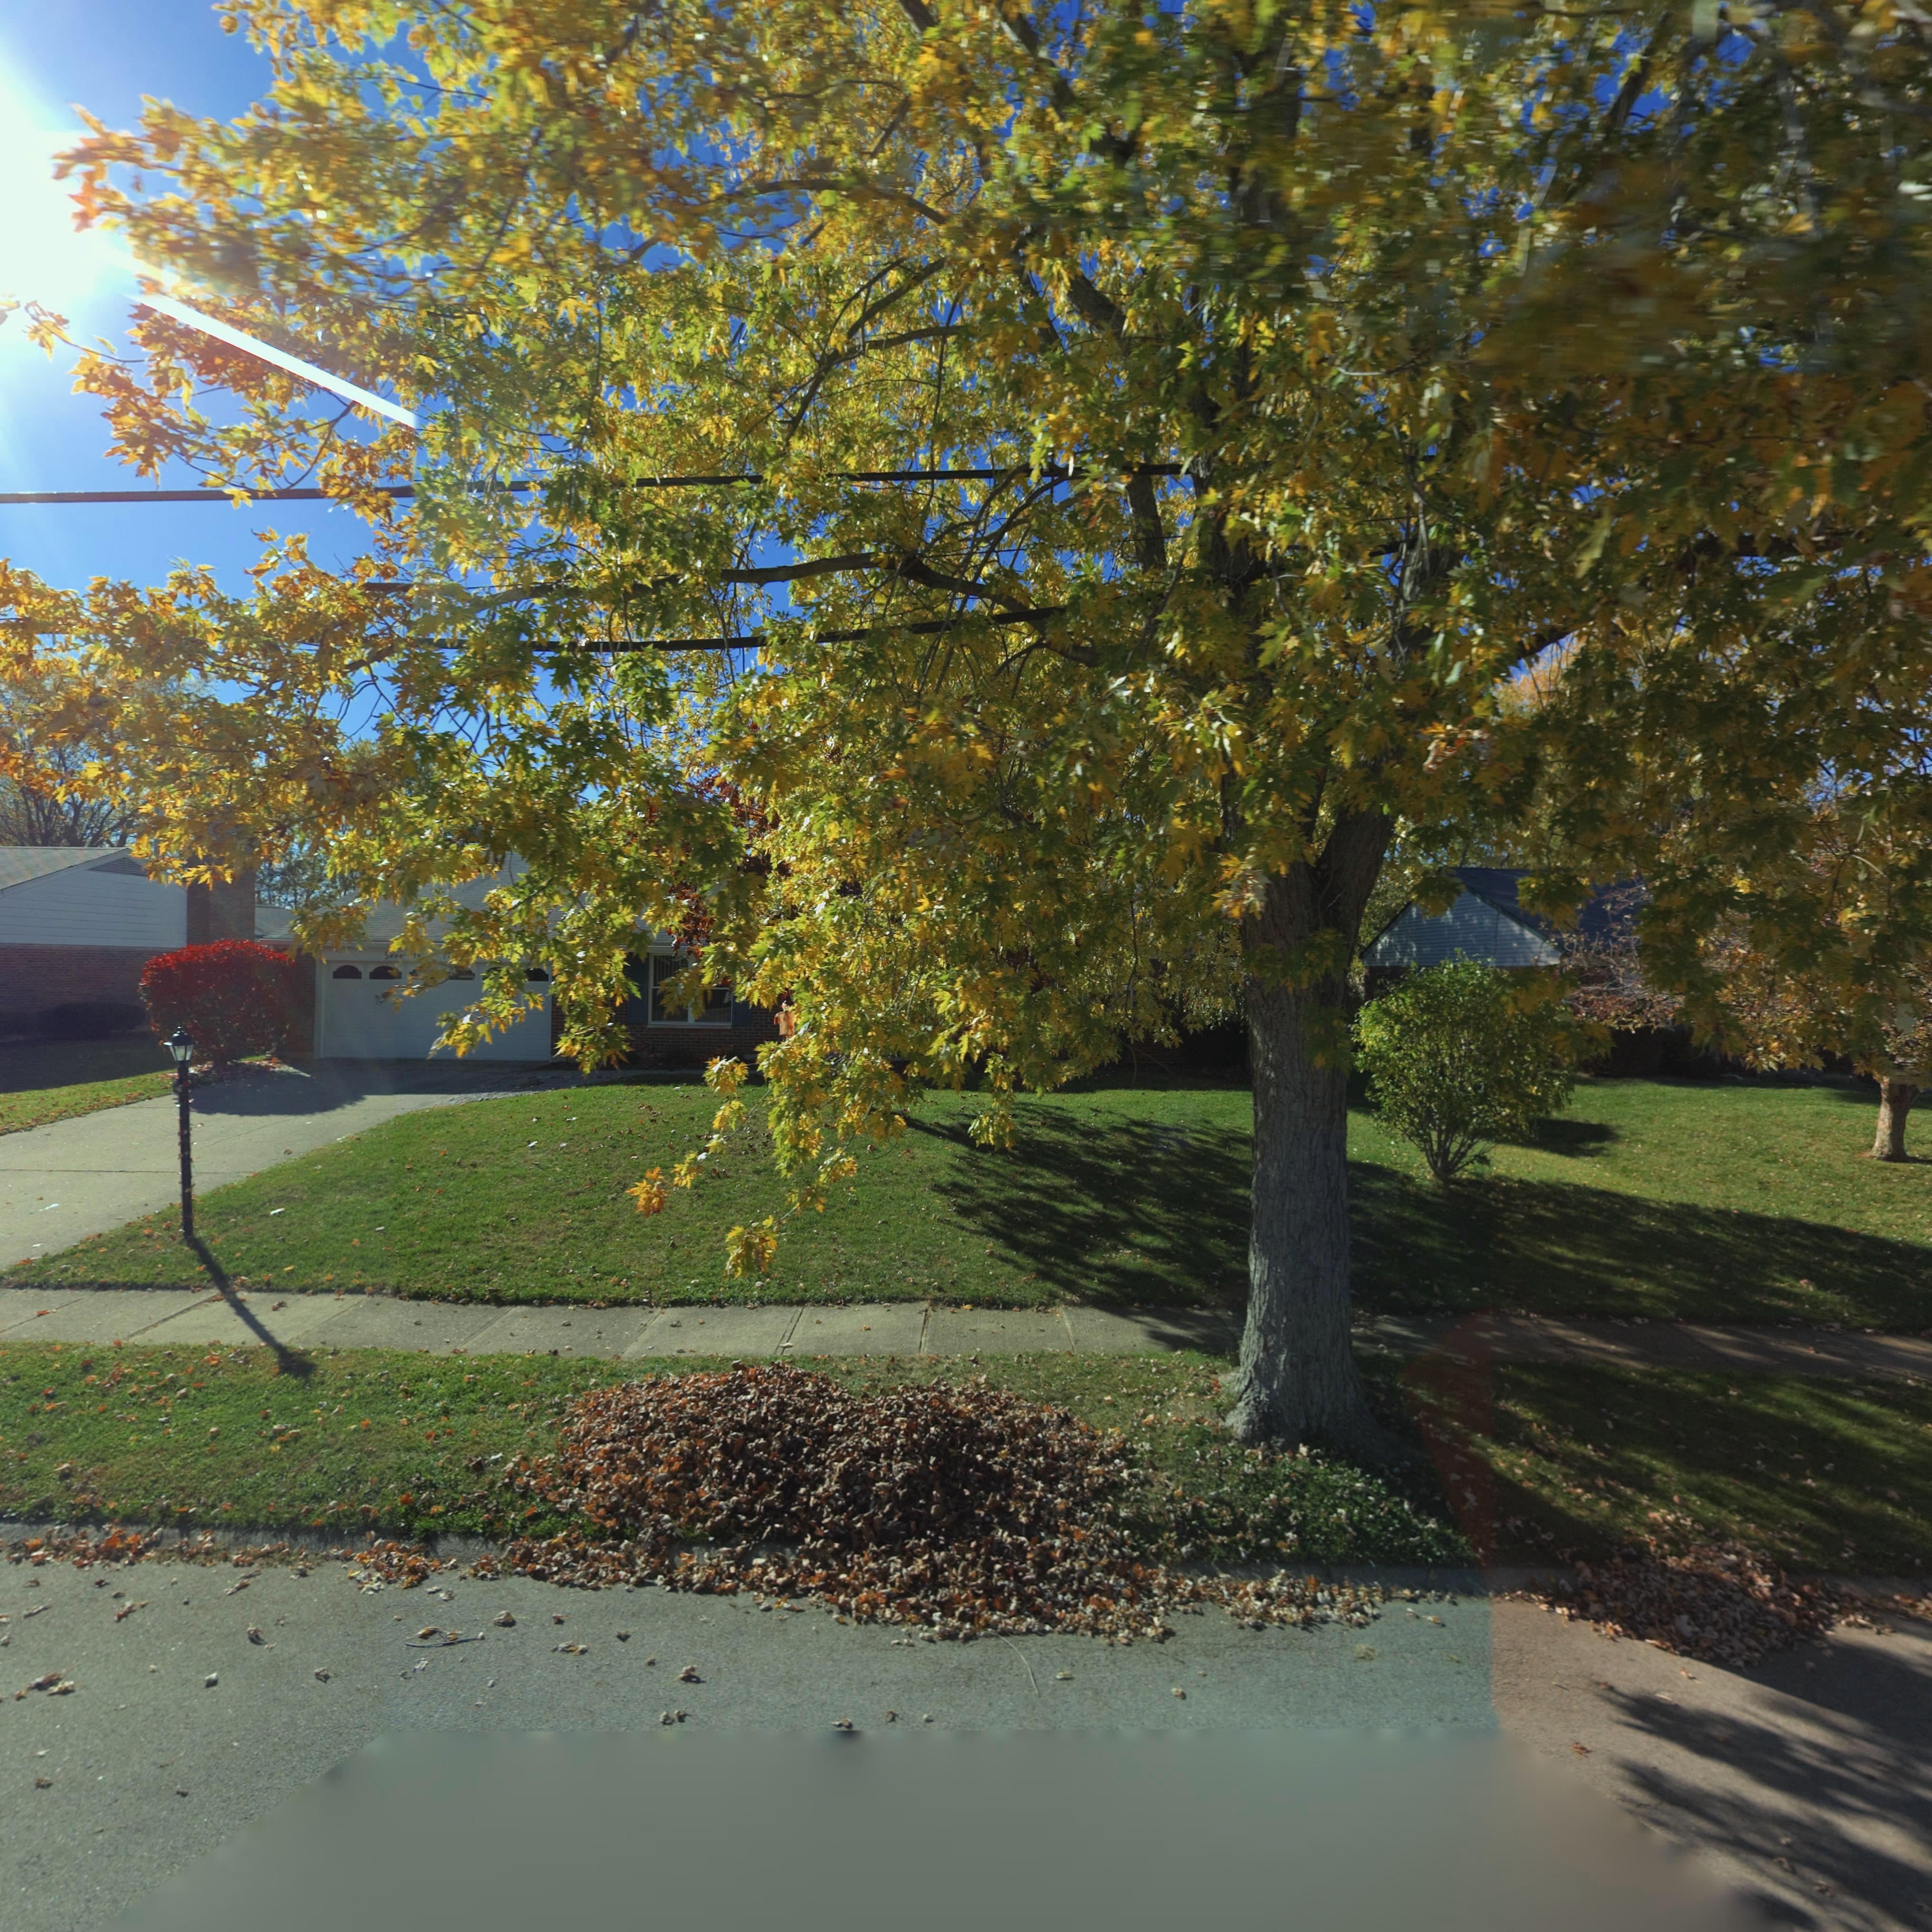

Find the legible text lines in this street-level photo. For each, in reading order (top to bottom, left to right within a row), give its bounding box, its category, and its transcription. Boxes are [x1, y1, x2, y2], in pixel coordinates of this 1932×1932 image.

[384, 949, 423, 960] StreetNumber: Seve*t*